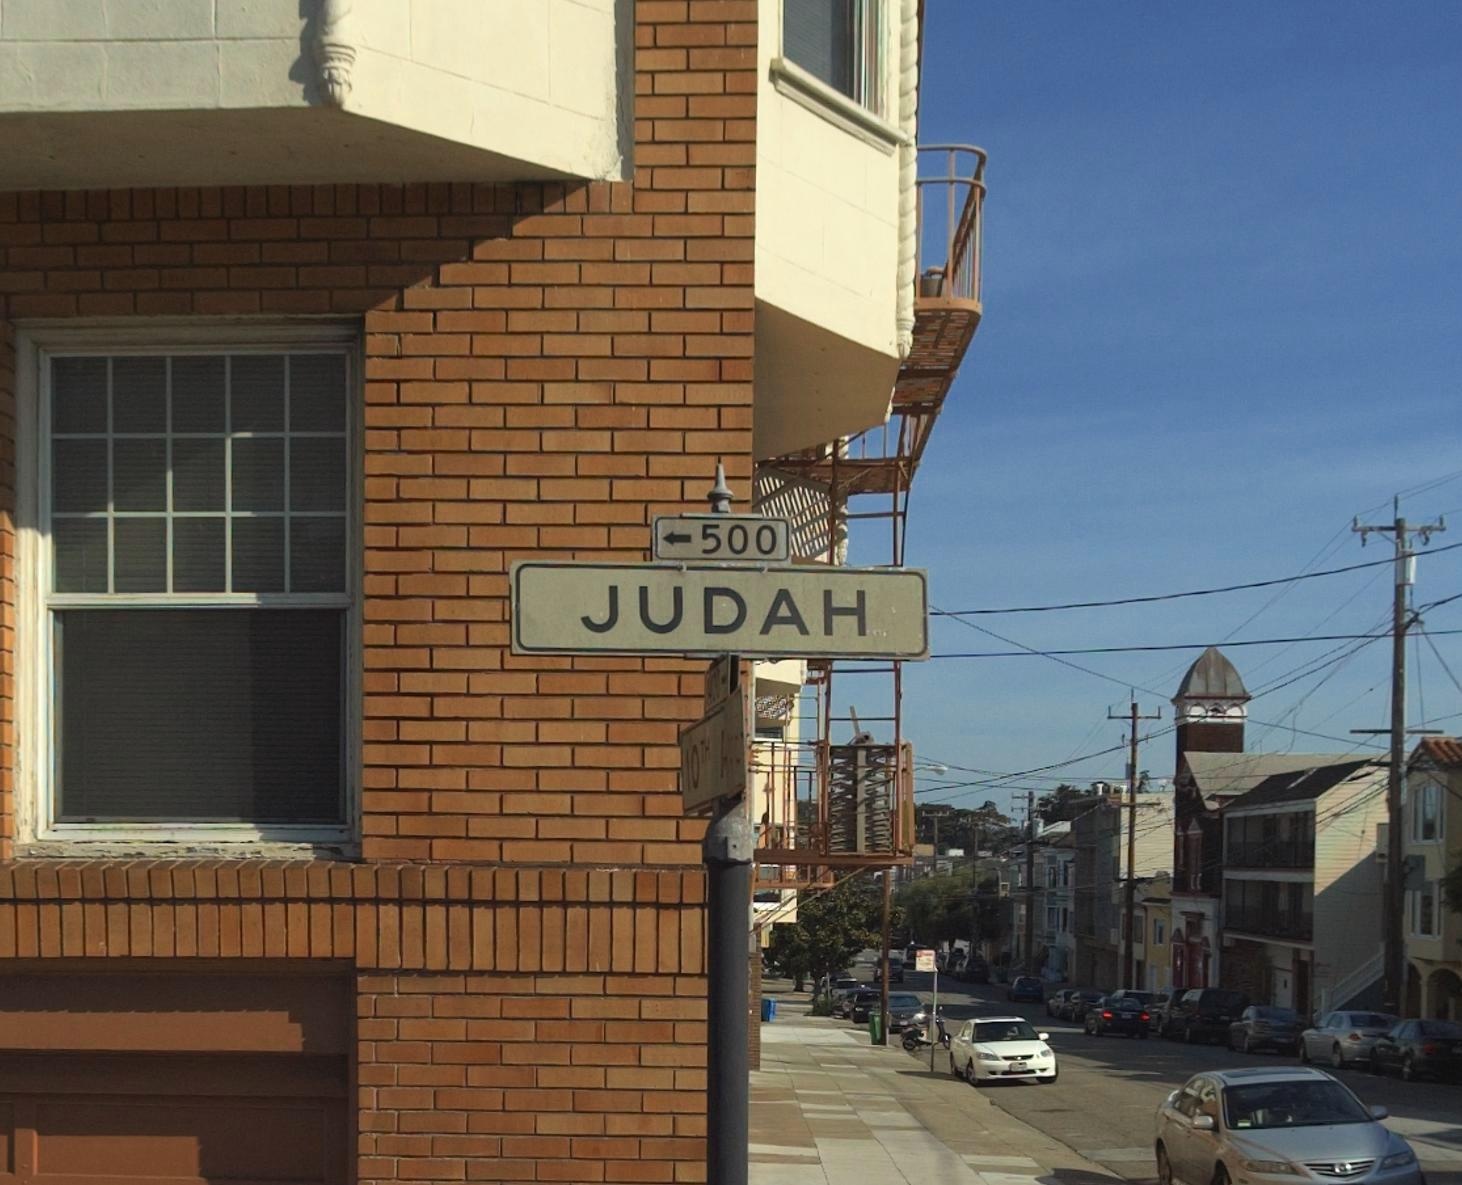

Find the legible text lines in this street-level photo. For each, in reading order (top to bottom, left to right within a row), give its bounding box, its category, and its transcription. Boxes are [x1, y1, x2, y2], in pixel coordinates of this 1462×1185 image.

[659, 522, 777, 556] StreetNumberRange: <-500
[578, 582, 868, 638] StreetName: JUDAH
[685, 734, 711, 798] StreetName: 10TH